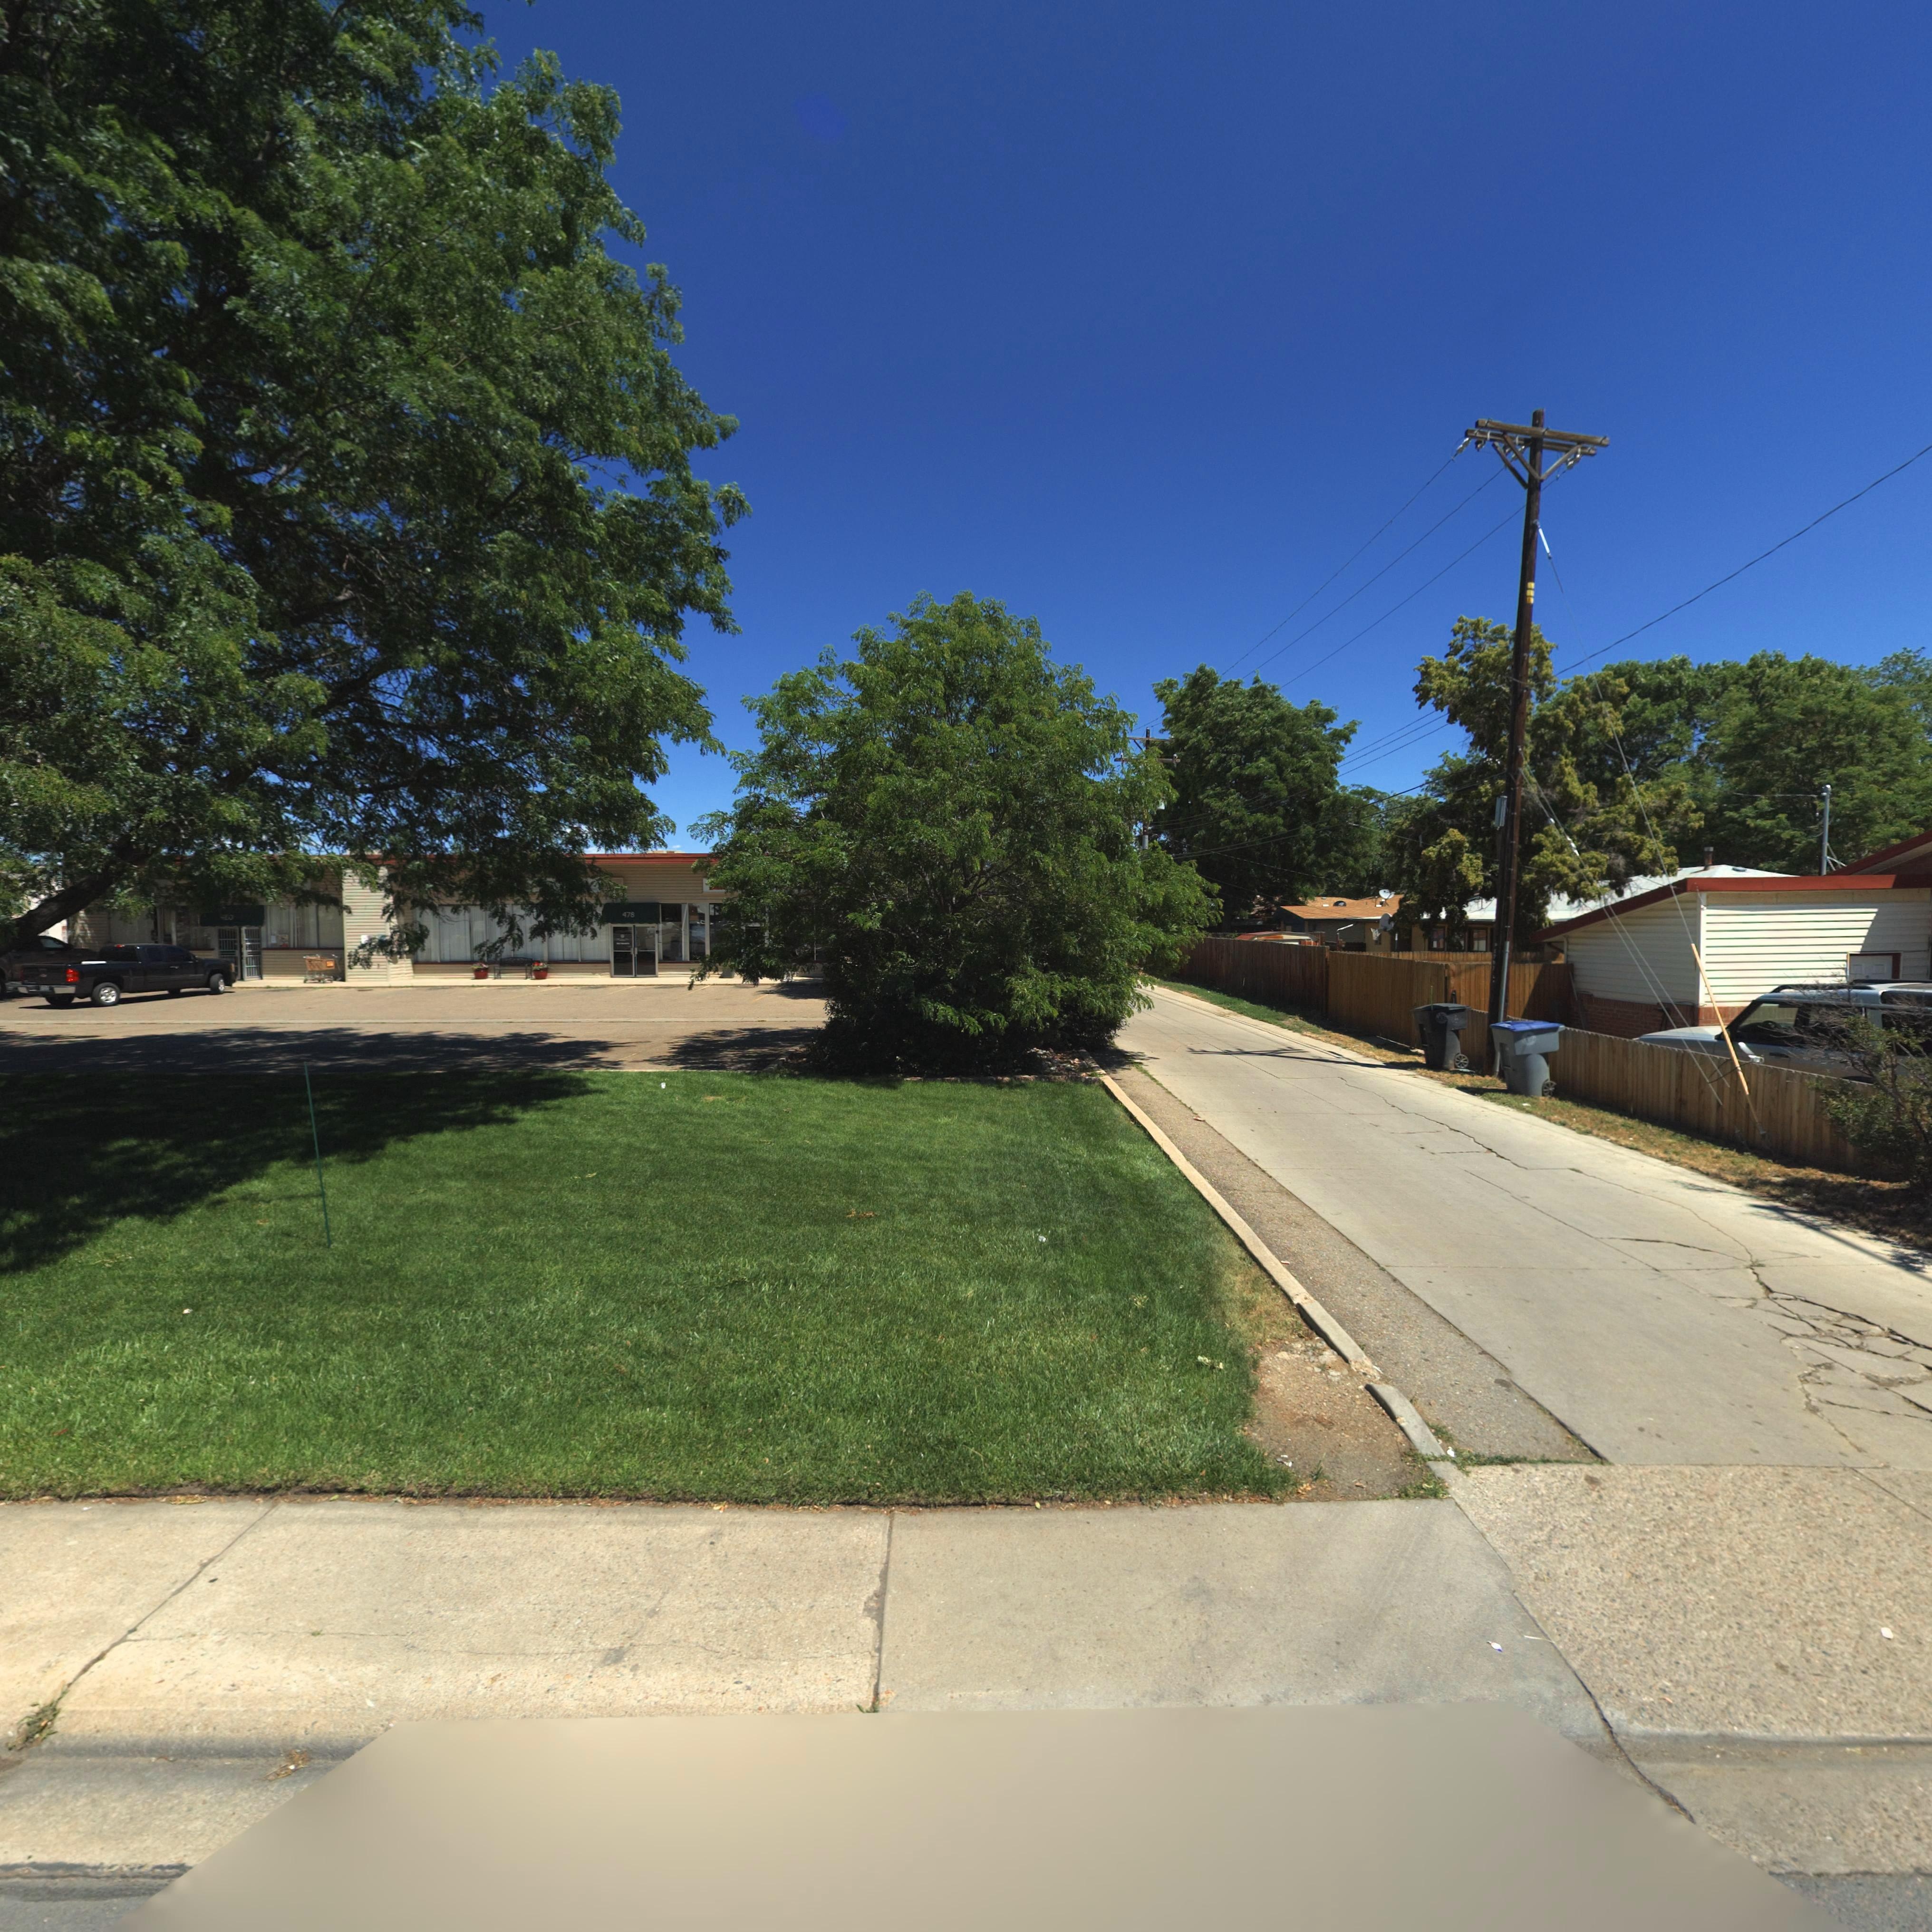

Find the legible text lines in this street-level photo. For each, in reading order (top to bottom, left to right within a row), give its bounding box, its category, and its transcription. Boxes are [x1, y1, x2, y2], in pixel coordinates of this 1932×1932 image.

[220, 914, 234, 920] StreetNumber: **0
[621, 911, 635, 918] StreetNumber: 478